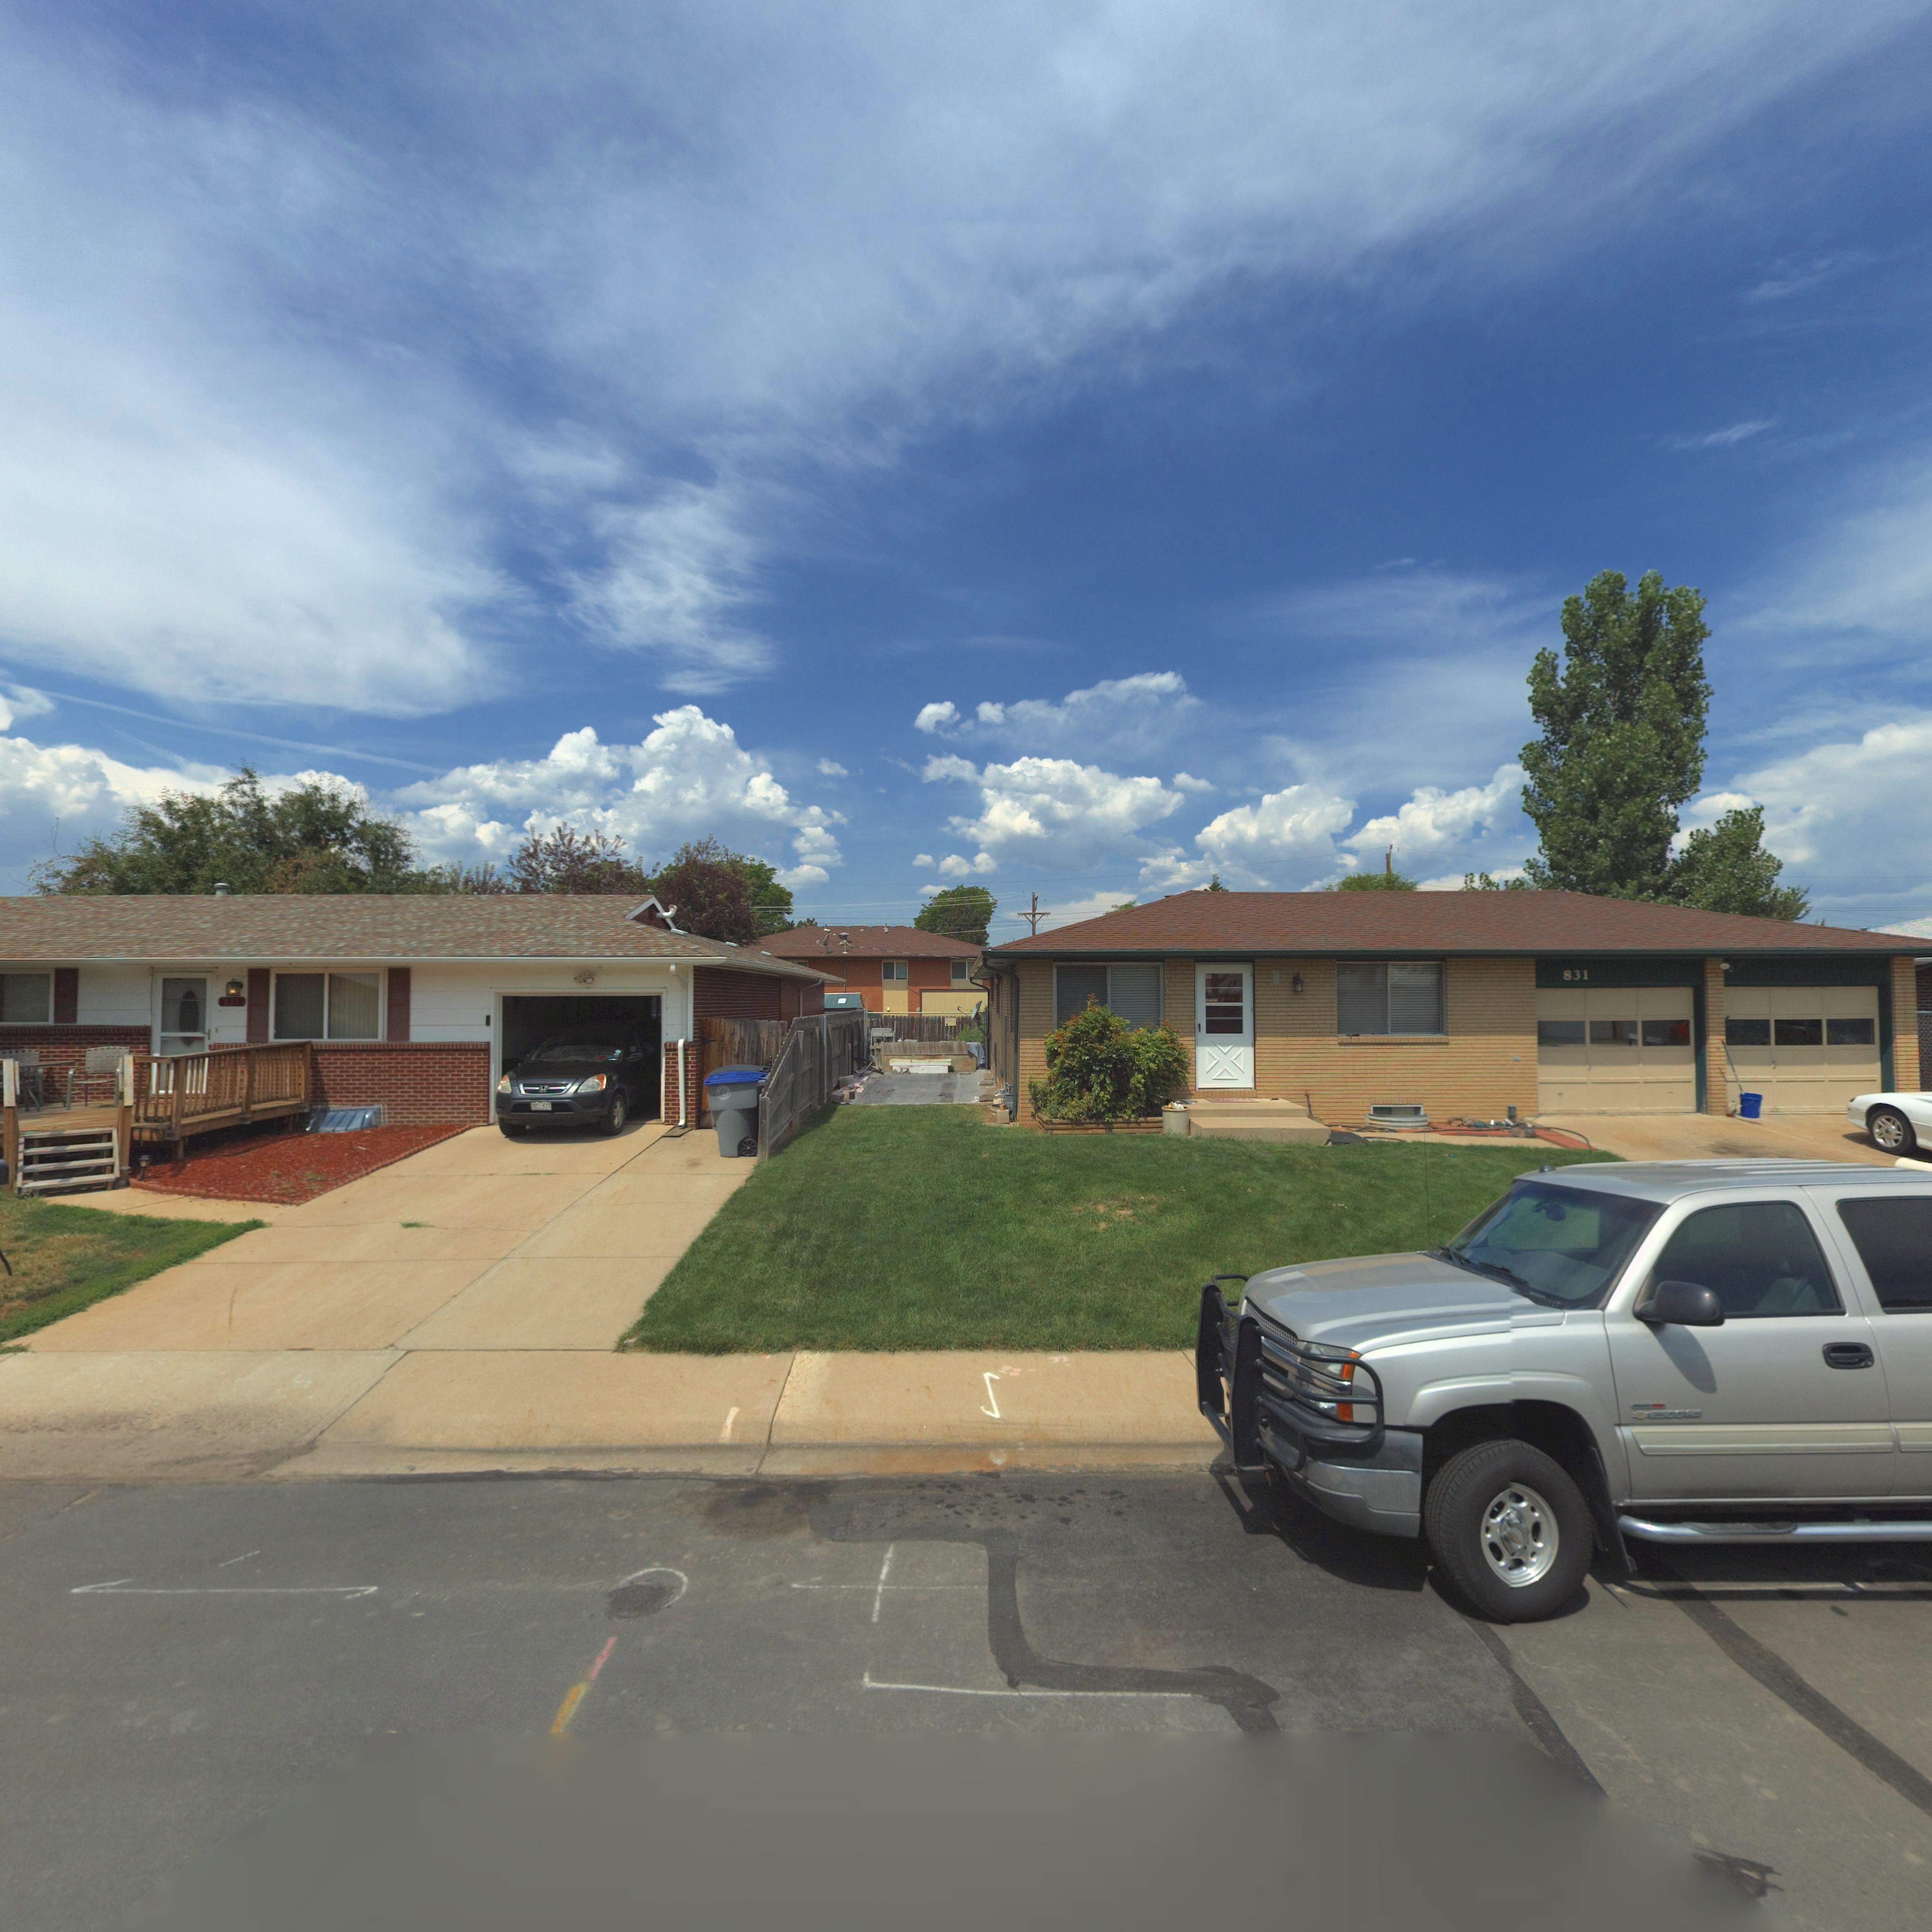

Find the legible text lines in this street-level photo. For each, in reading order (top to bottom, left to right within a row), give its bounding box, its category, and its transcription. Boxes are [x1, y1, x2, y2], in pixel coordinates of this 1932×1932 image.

[1563, 969, 1589, 980] StreetNumber: 831
[223, 997, 240, 1005] StreetNumber: 837